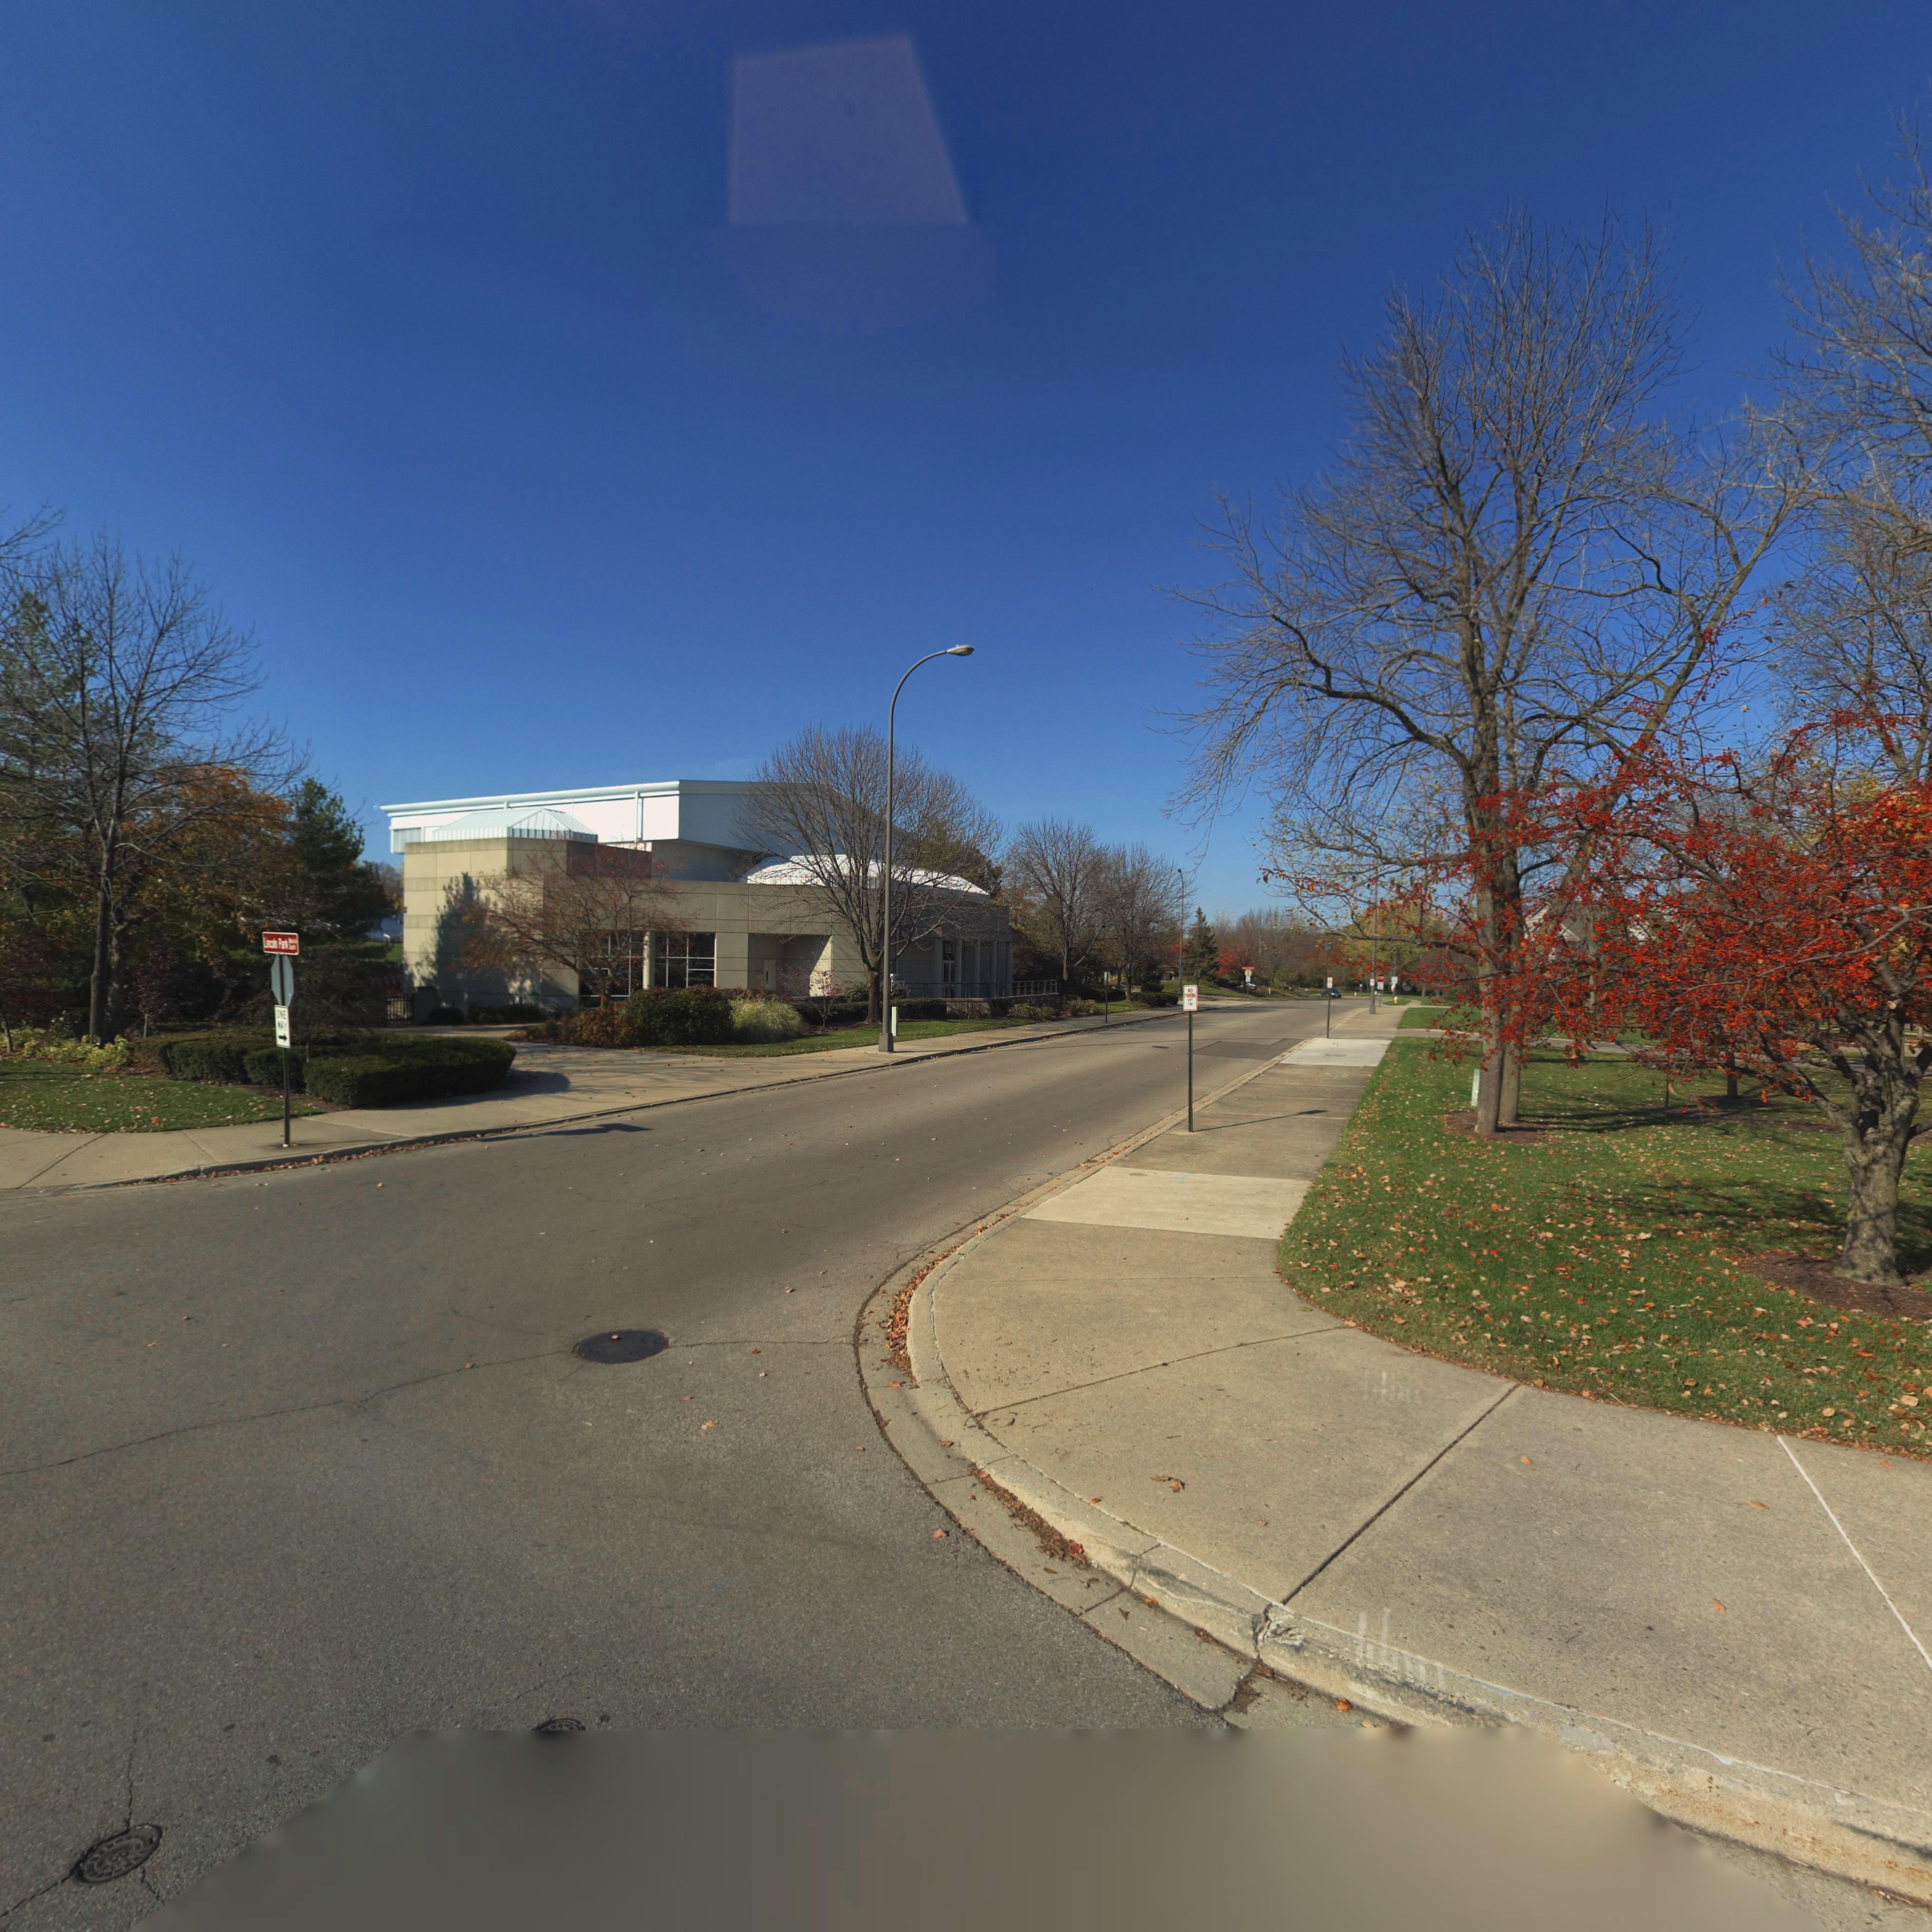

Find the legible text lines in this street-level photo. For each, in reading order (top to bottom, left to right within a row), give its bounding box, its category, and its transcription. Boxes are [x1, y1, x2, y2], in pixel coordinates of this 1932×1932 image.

[263, 937, 297, 950] StreetName: Lincoln Park Blvd South
[1376, 976, 1384, 980] None: STOP
[1187, 987, 1193, 993] None: NO
[1184, 993, 1196, 998] None: PARKING
[1187, 998, 1193, 1002] None: ANY
[1187, 1002, 1193, 1006] None: TIME
[276, 1009, 287, 1020] None: ONE
[277, 1021, 287, 1030] None: WAY